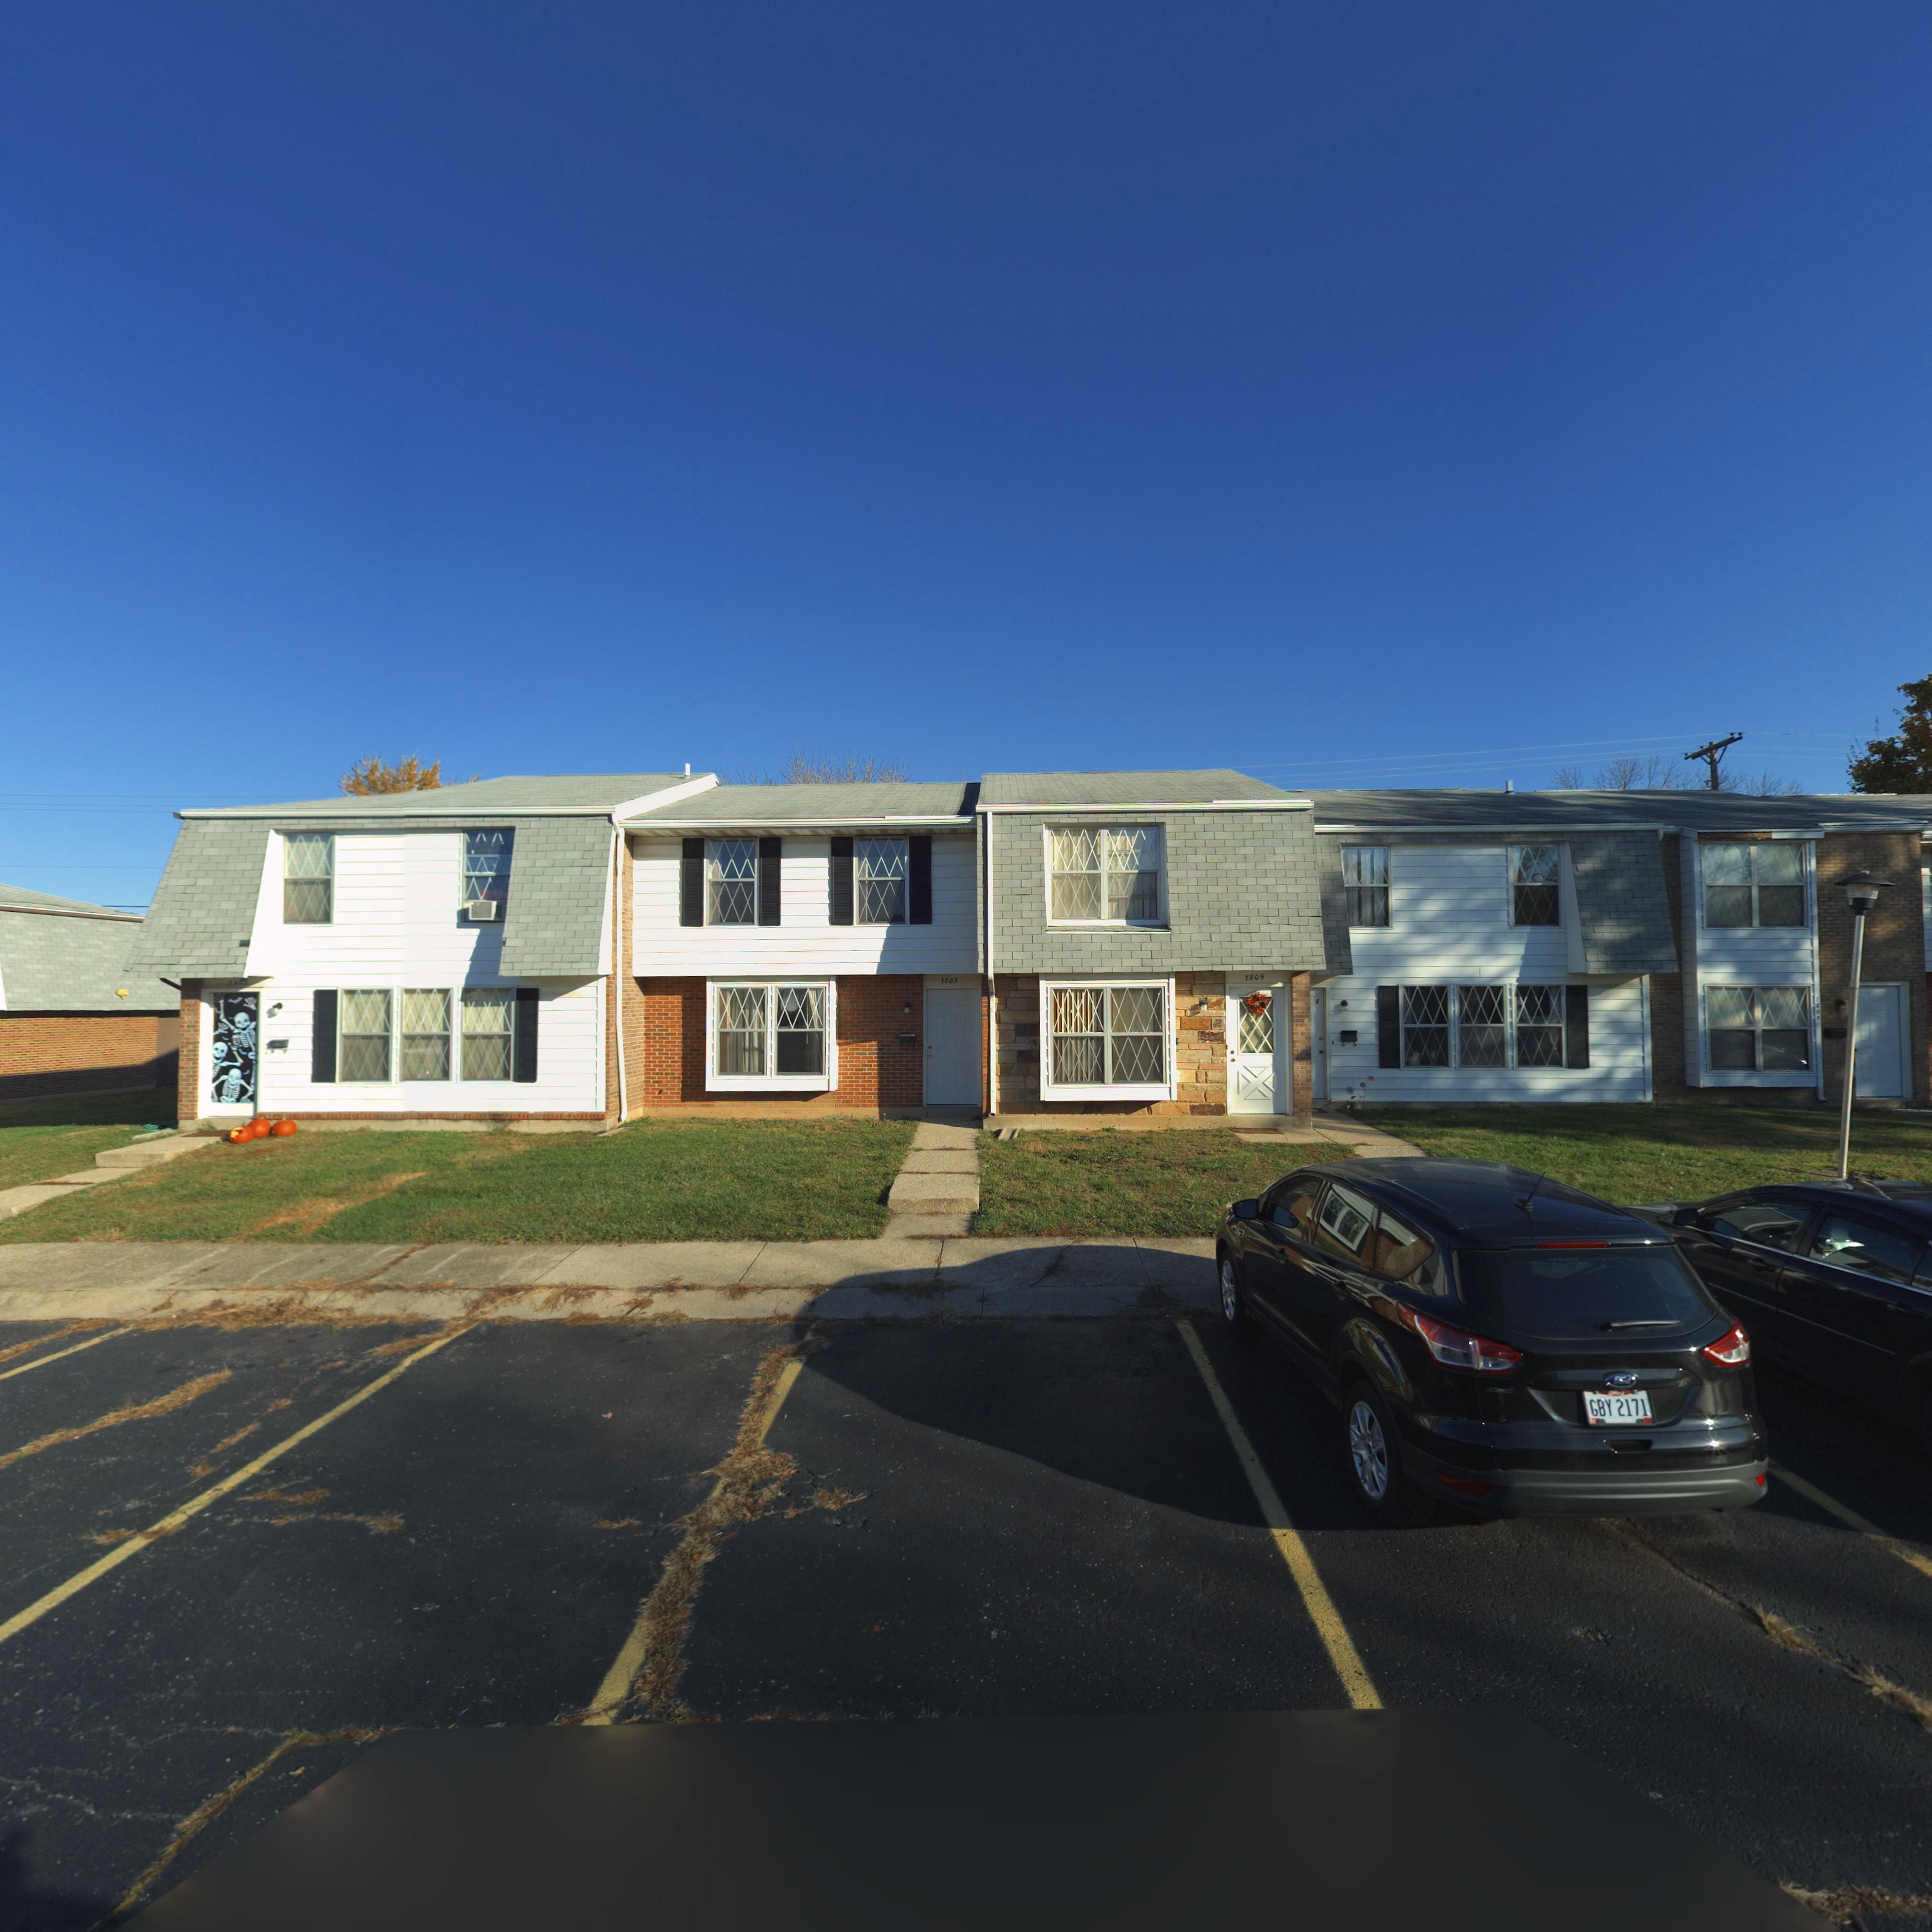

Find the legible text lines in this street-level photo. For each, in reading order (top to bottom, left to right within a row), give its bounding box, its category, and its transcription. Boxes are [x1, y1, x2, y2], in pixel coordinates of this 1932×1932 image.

[226, 980, 249, 986] StreetNumber: 7801
[940, 976, 958, 984] StreetNumber: 7803
[1244, 973, 1265, 981] StreetNumber: 7805
[1815, 995, 1821, 1021] StreetNumber: 7809